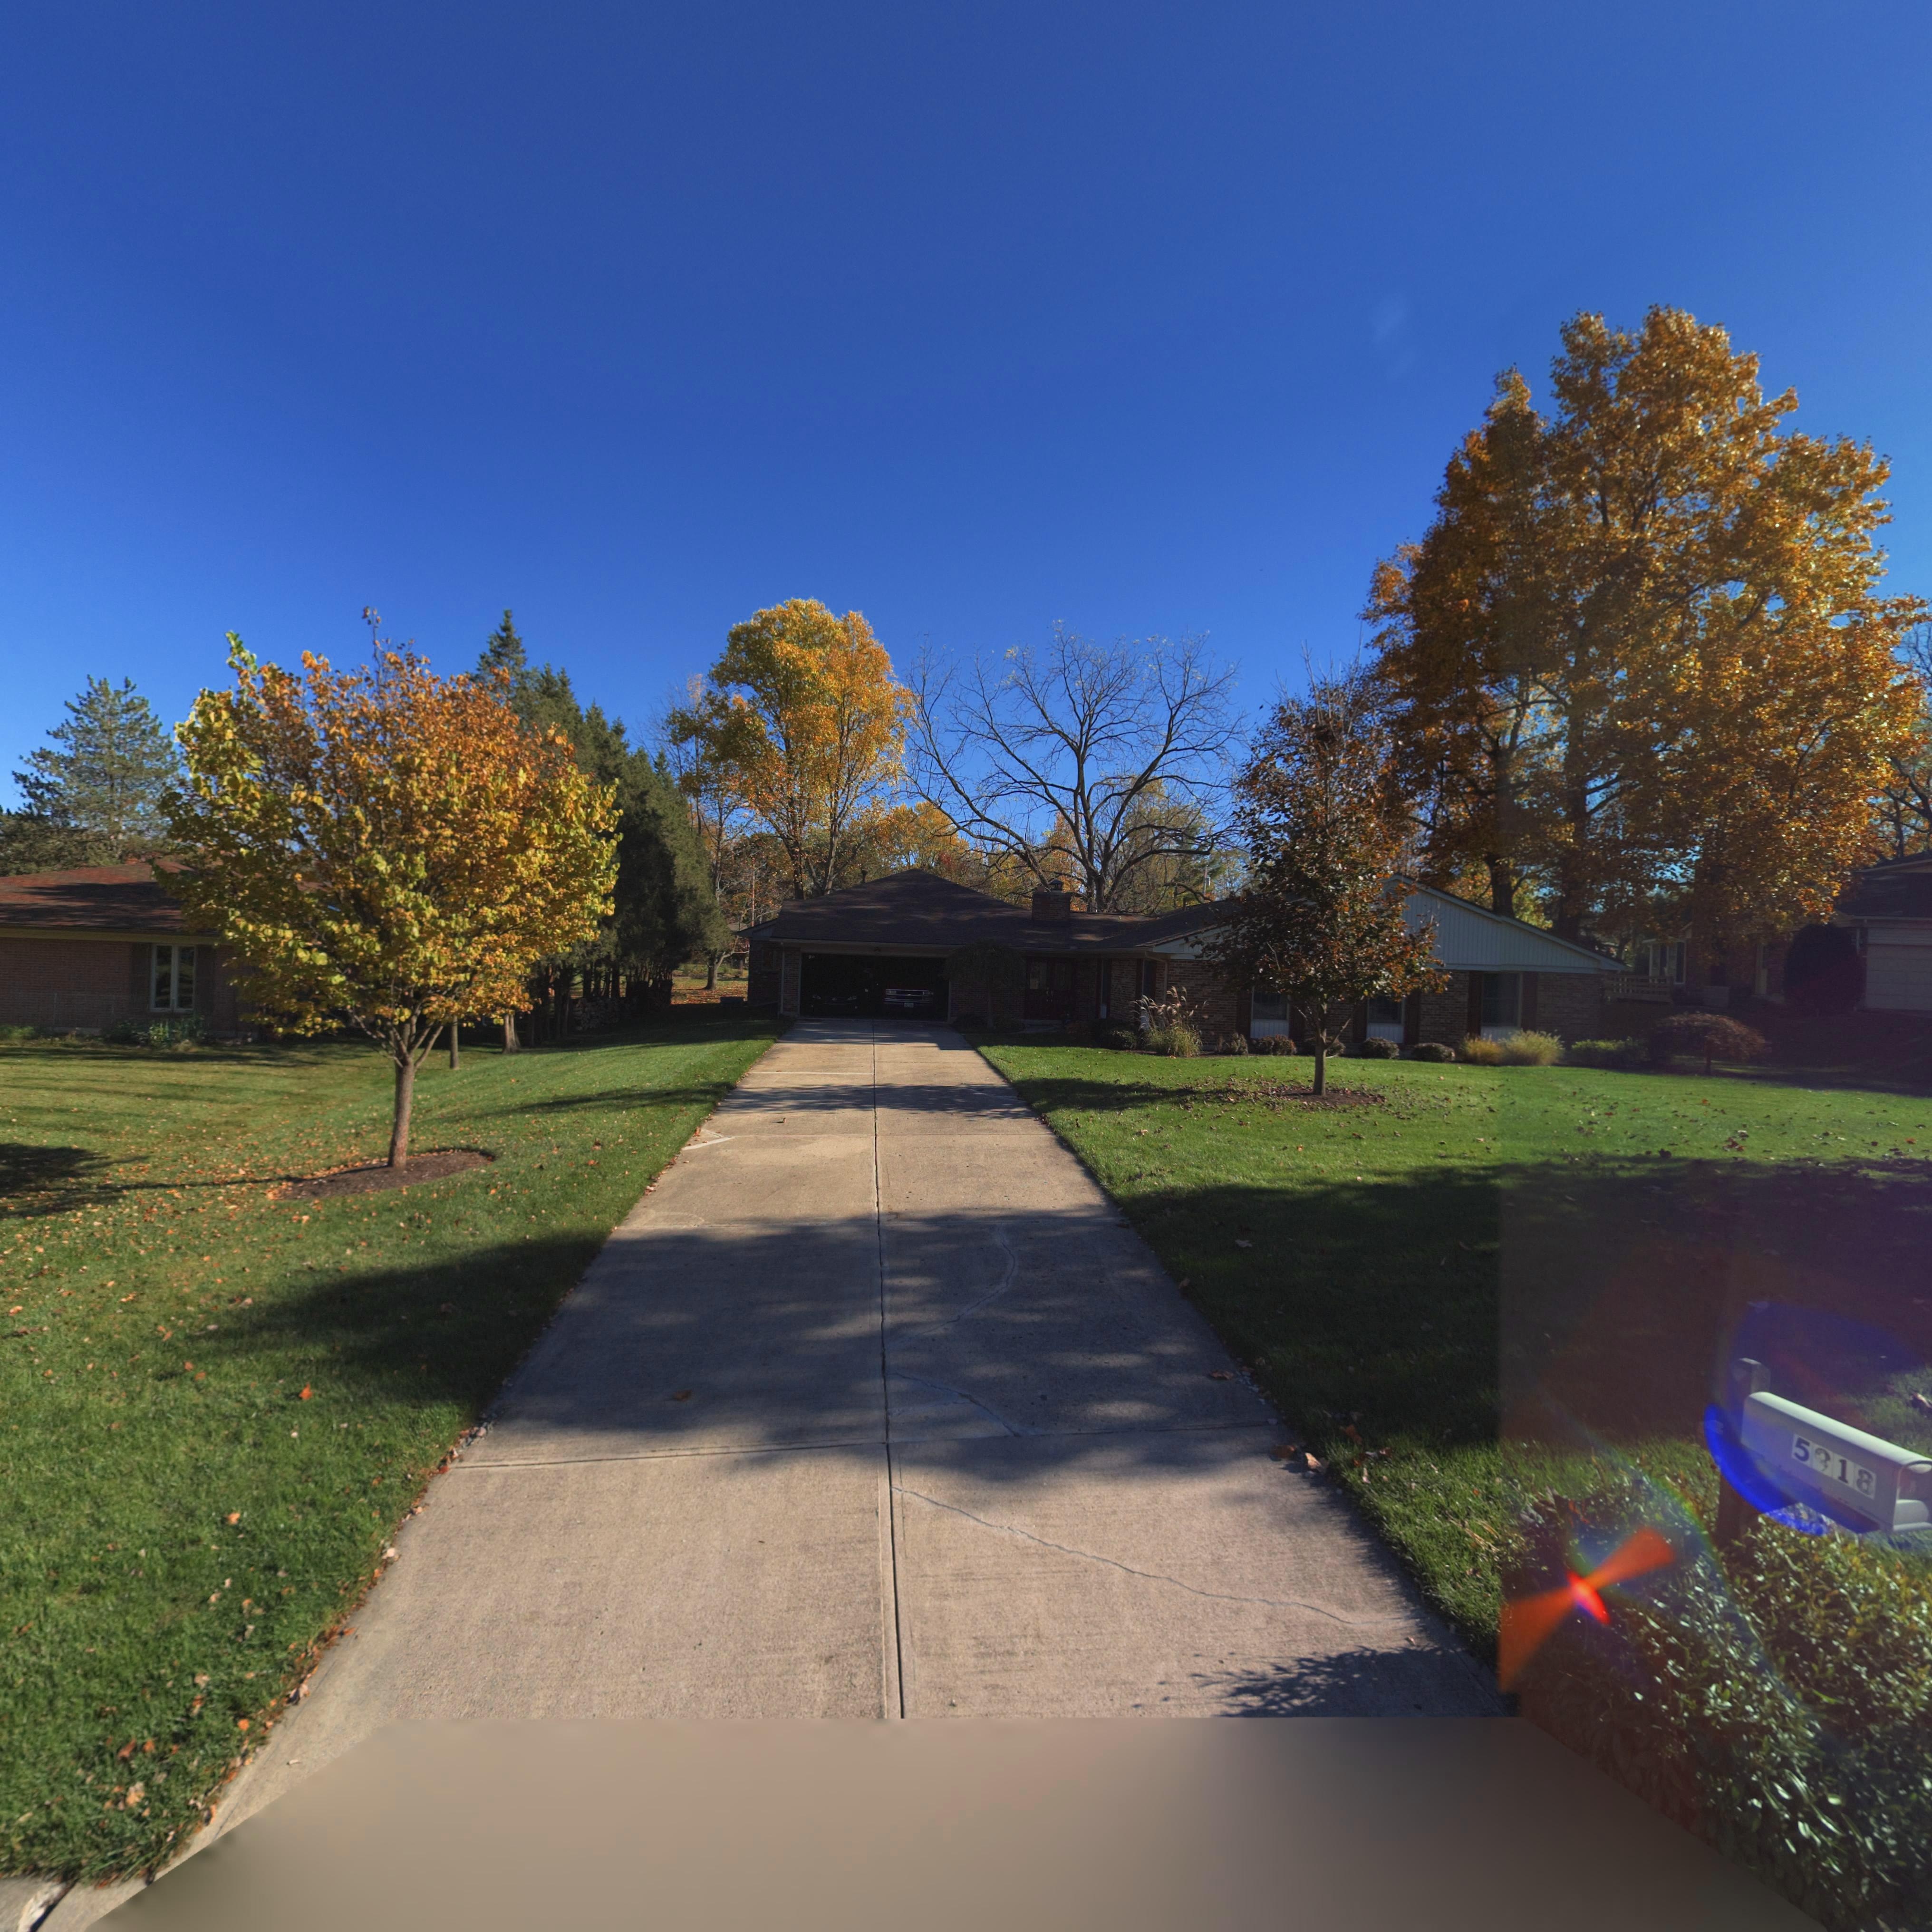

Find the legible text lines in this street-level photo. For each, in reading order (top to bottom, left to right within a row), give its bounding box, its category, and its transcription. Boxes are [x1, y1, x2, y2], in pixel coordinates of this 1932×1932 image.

[1792, 1433, 1876, 1500] StreetNumber: 5918